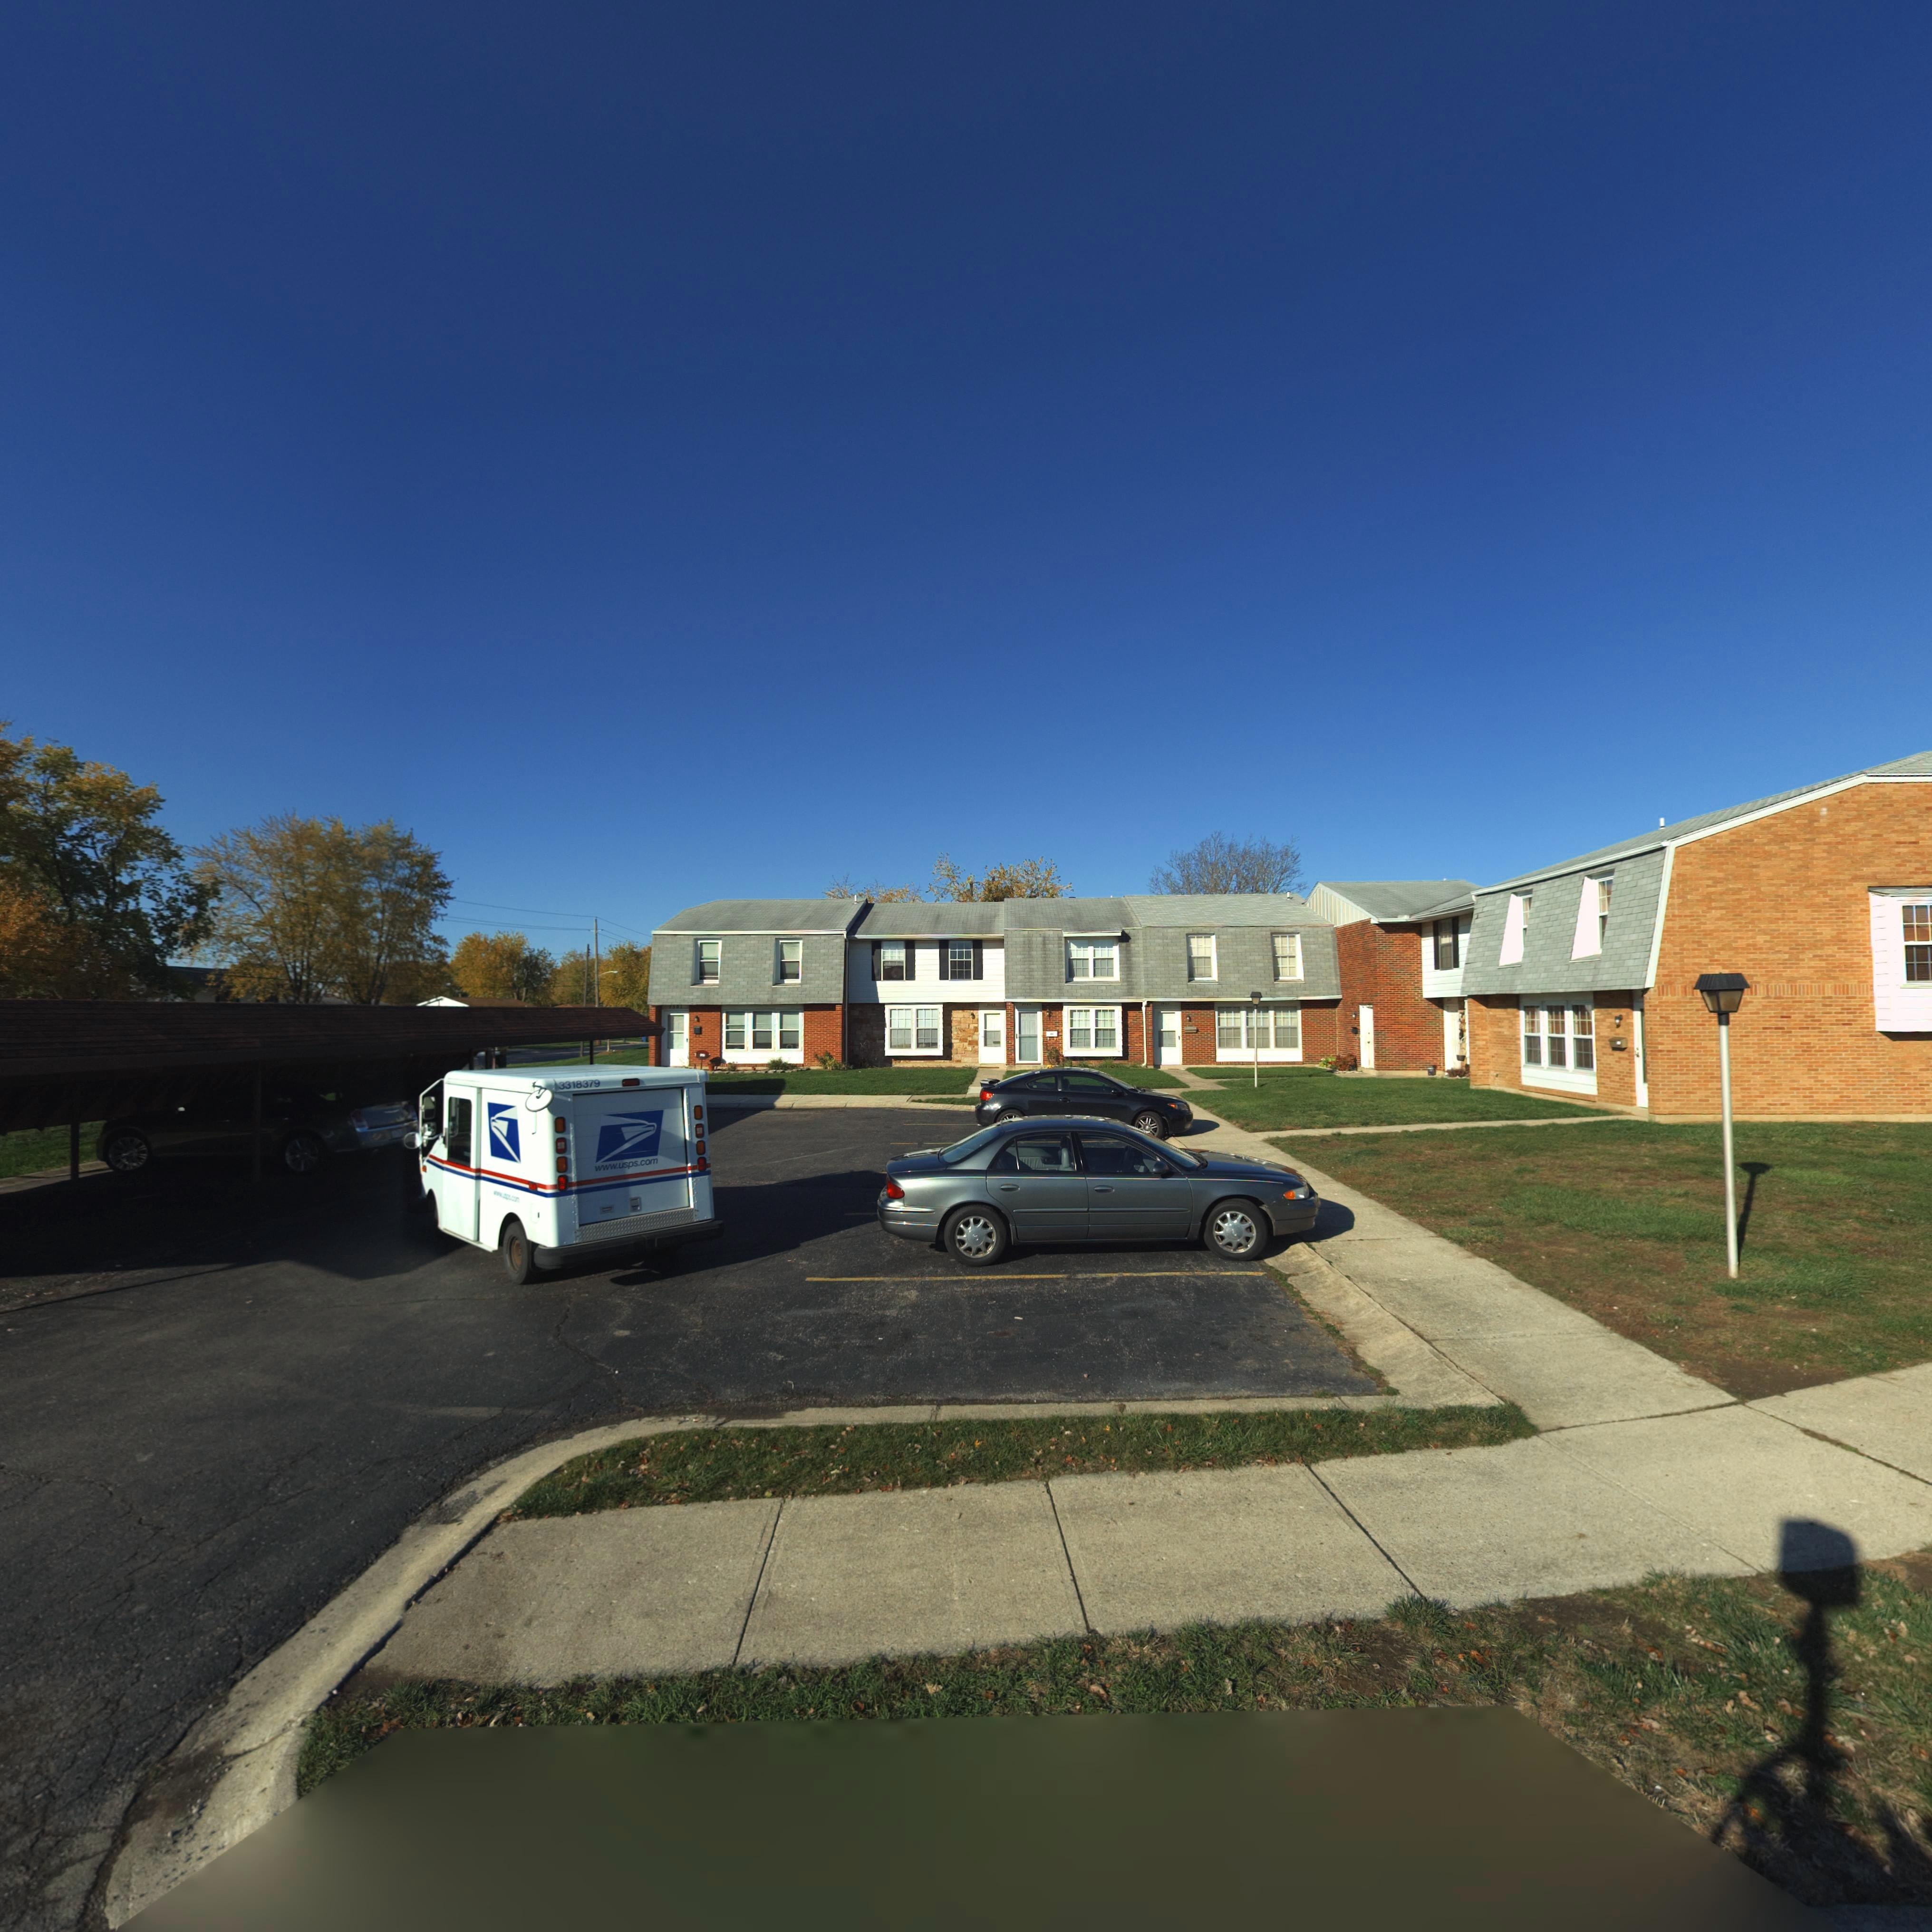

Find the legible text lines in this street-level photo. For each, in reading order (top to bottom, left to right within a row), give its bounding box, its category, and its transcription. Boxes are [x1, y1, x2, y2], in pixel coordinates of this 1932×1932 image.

[668, 1005, 682, 1009] StreetNumber: 7501
[987, 1003, 995, 1006] StreetNumber: ***3
[1021, 1003, 1031, 1006] StreetNumber: 75**
[1160, 1002, 1170, 1005] StreetNumber: 7*07